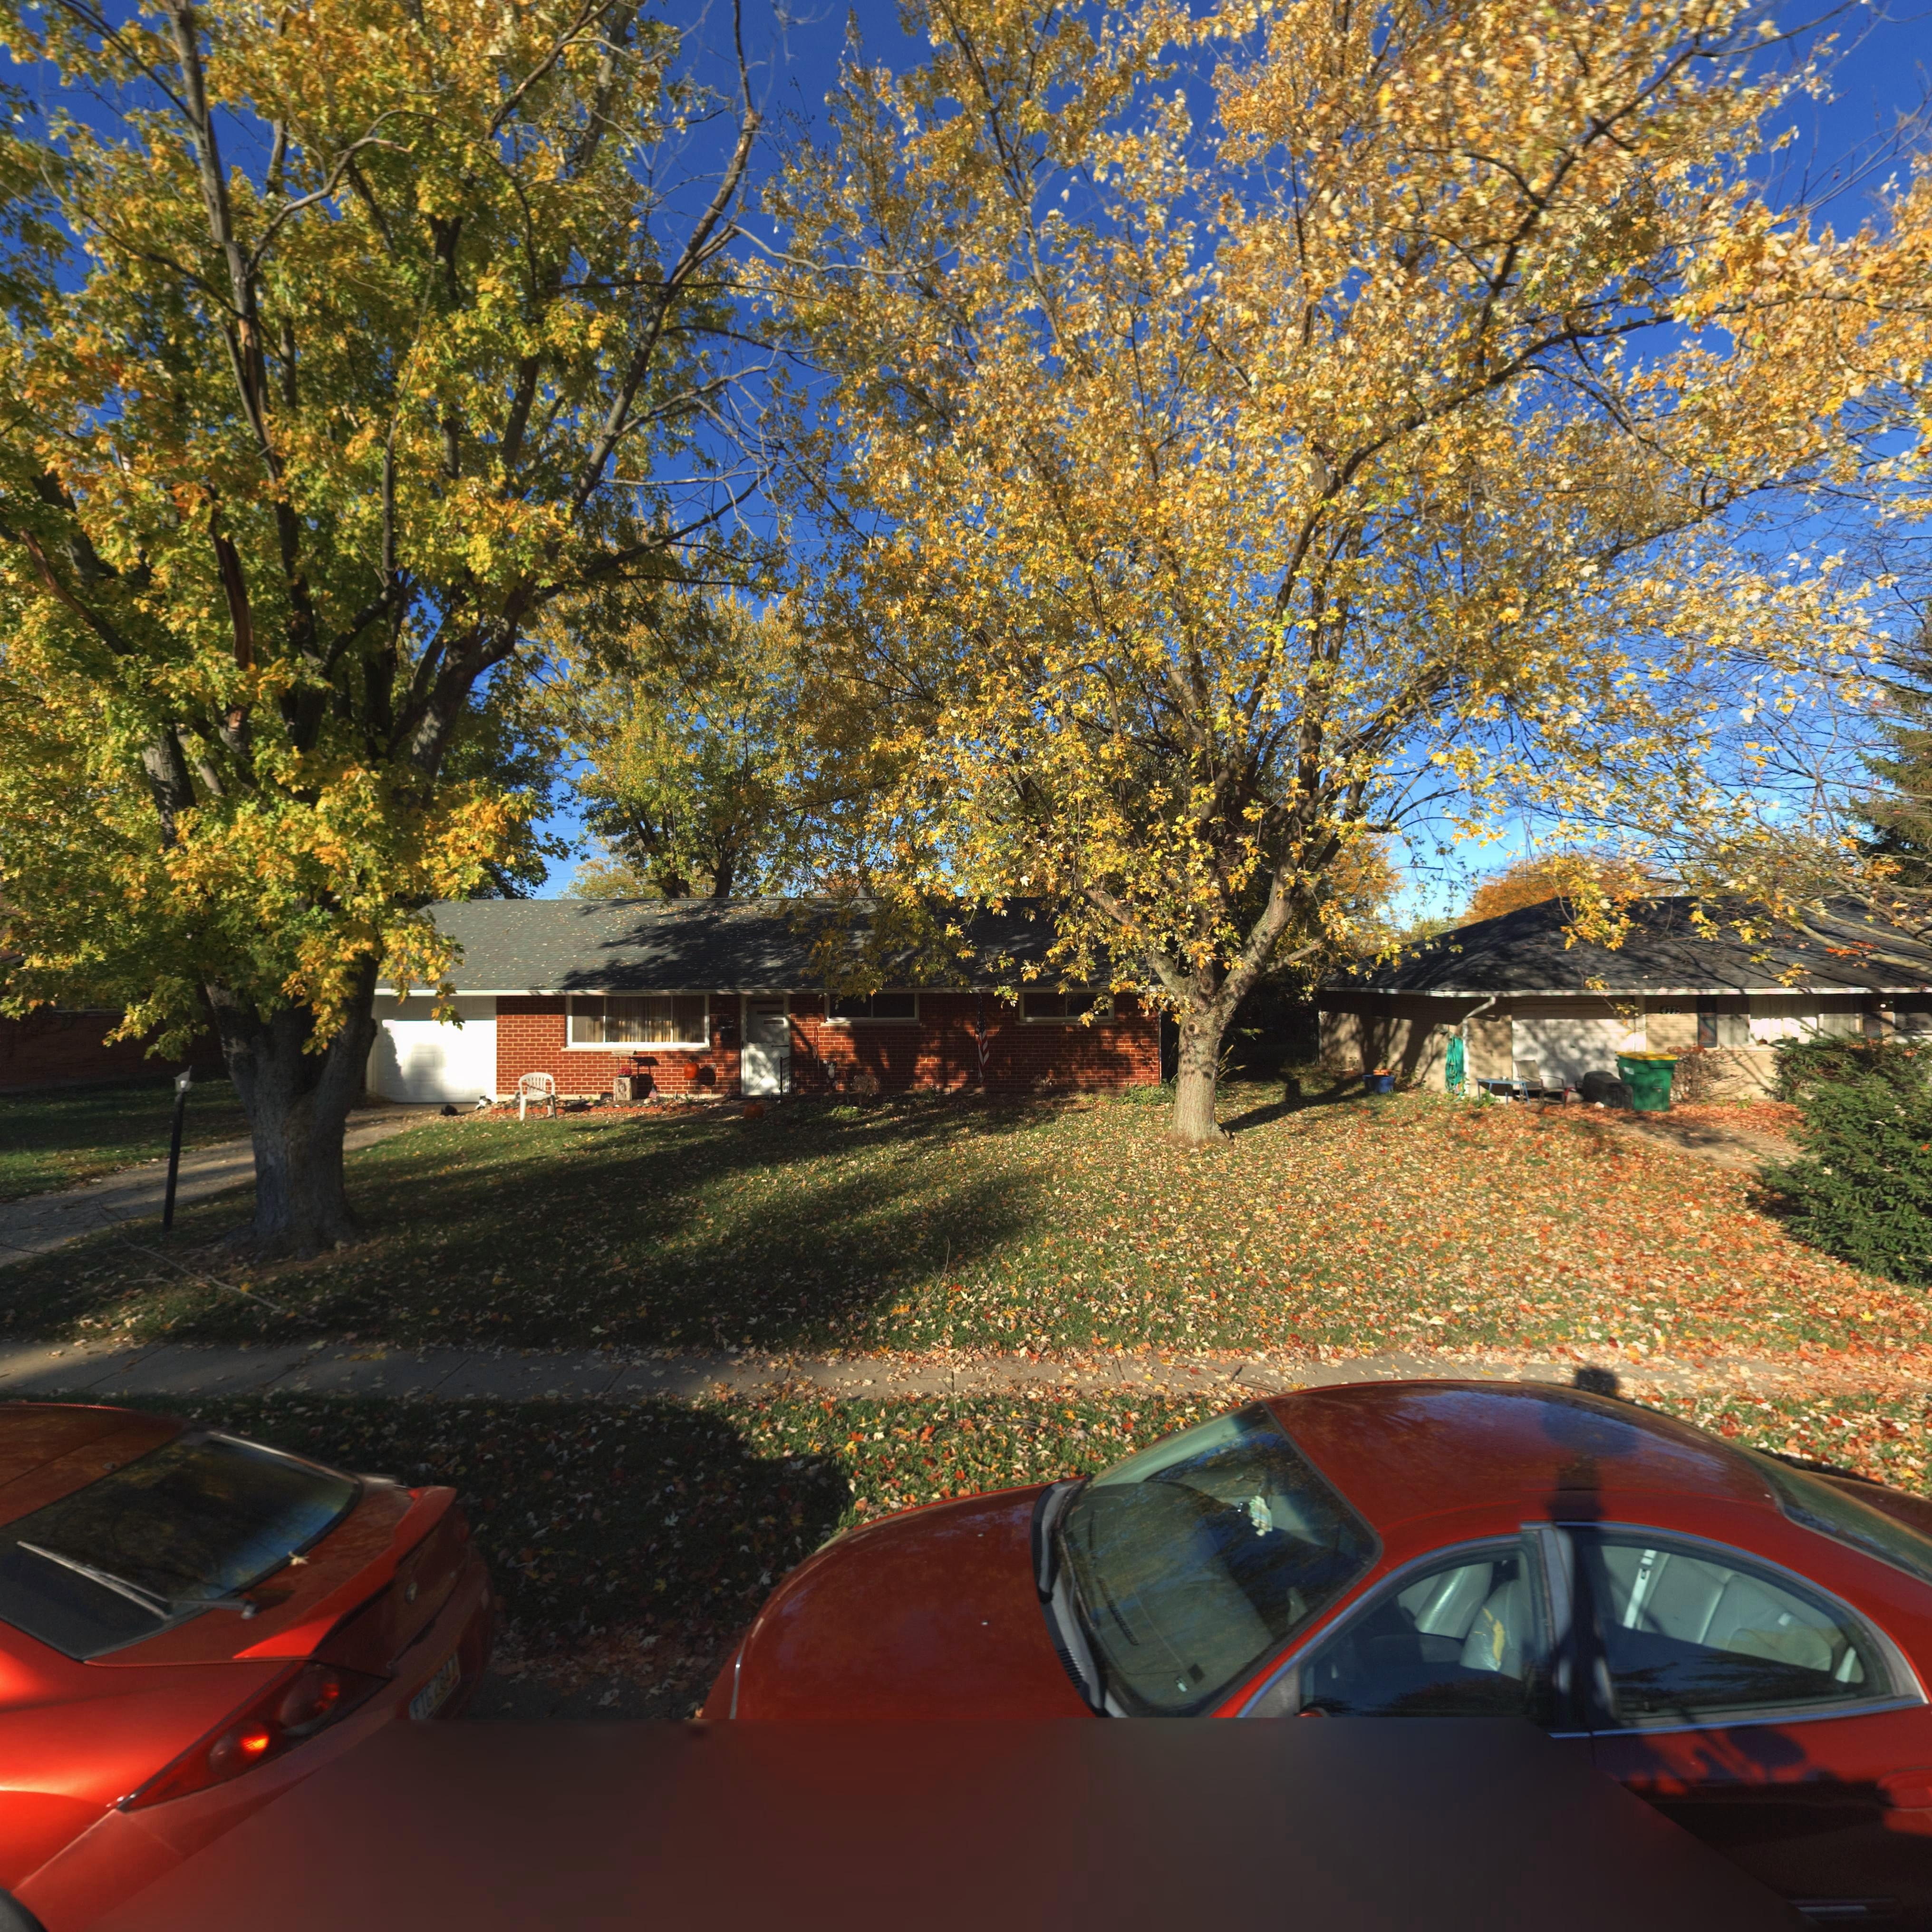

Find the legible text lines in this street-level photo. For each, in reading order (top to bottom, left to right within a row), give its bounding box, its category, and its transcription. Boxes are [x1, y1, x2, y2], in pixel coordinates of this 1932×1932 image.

[1661, 1005, 1682, 1014] StreetNumber: 4775